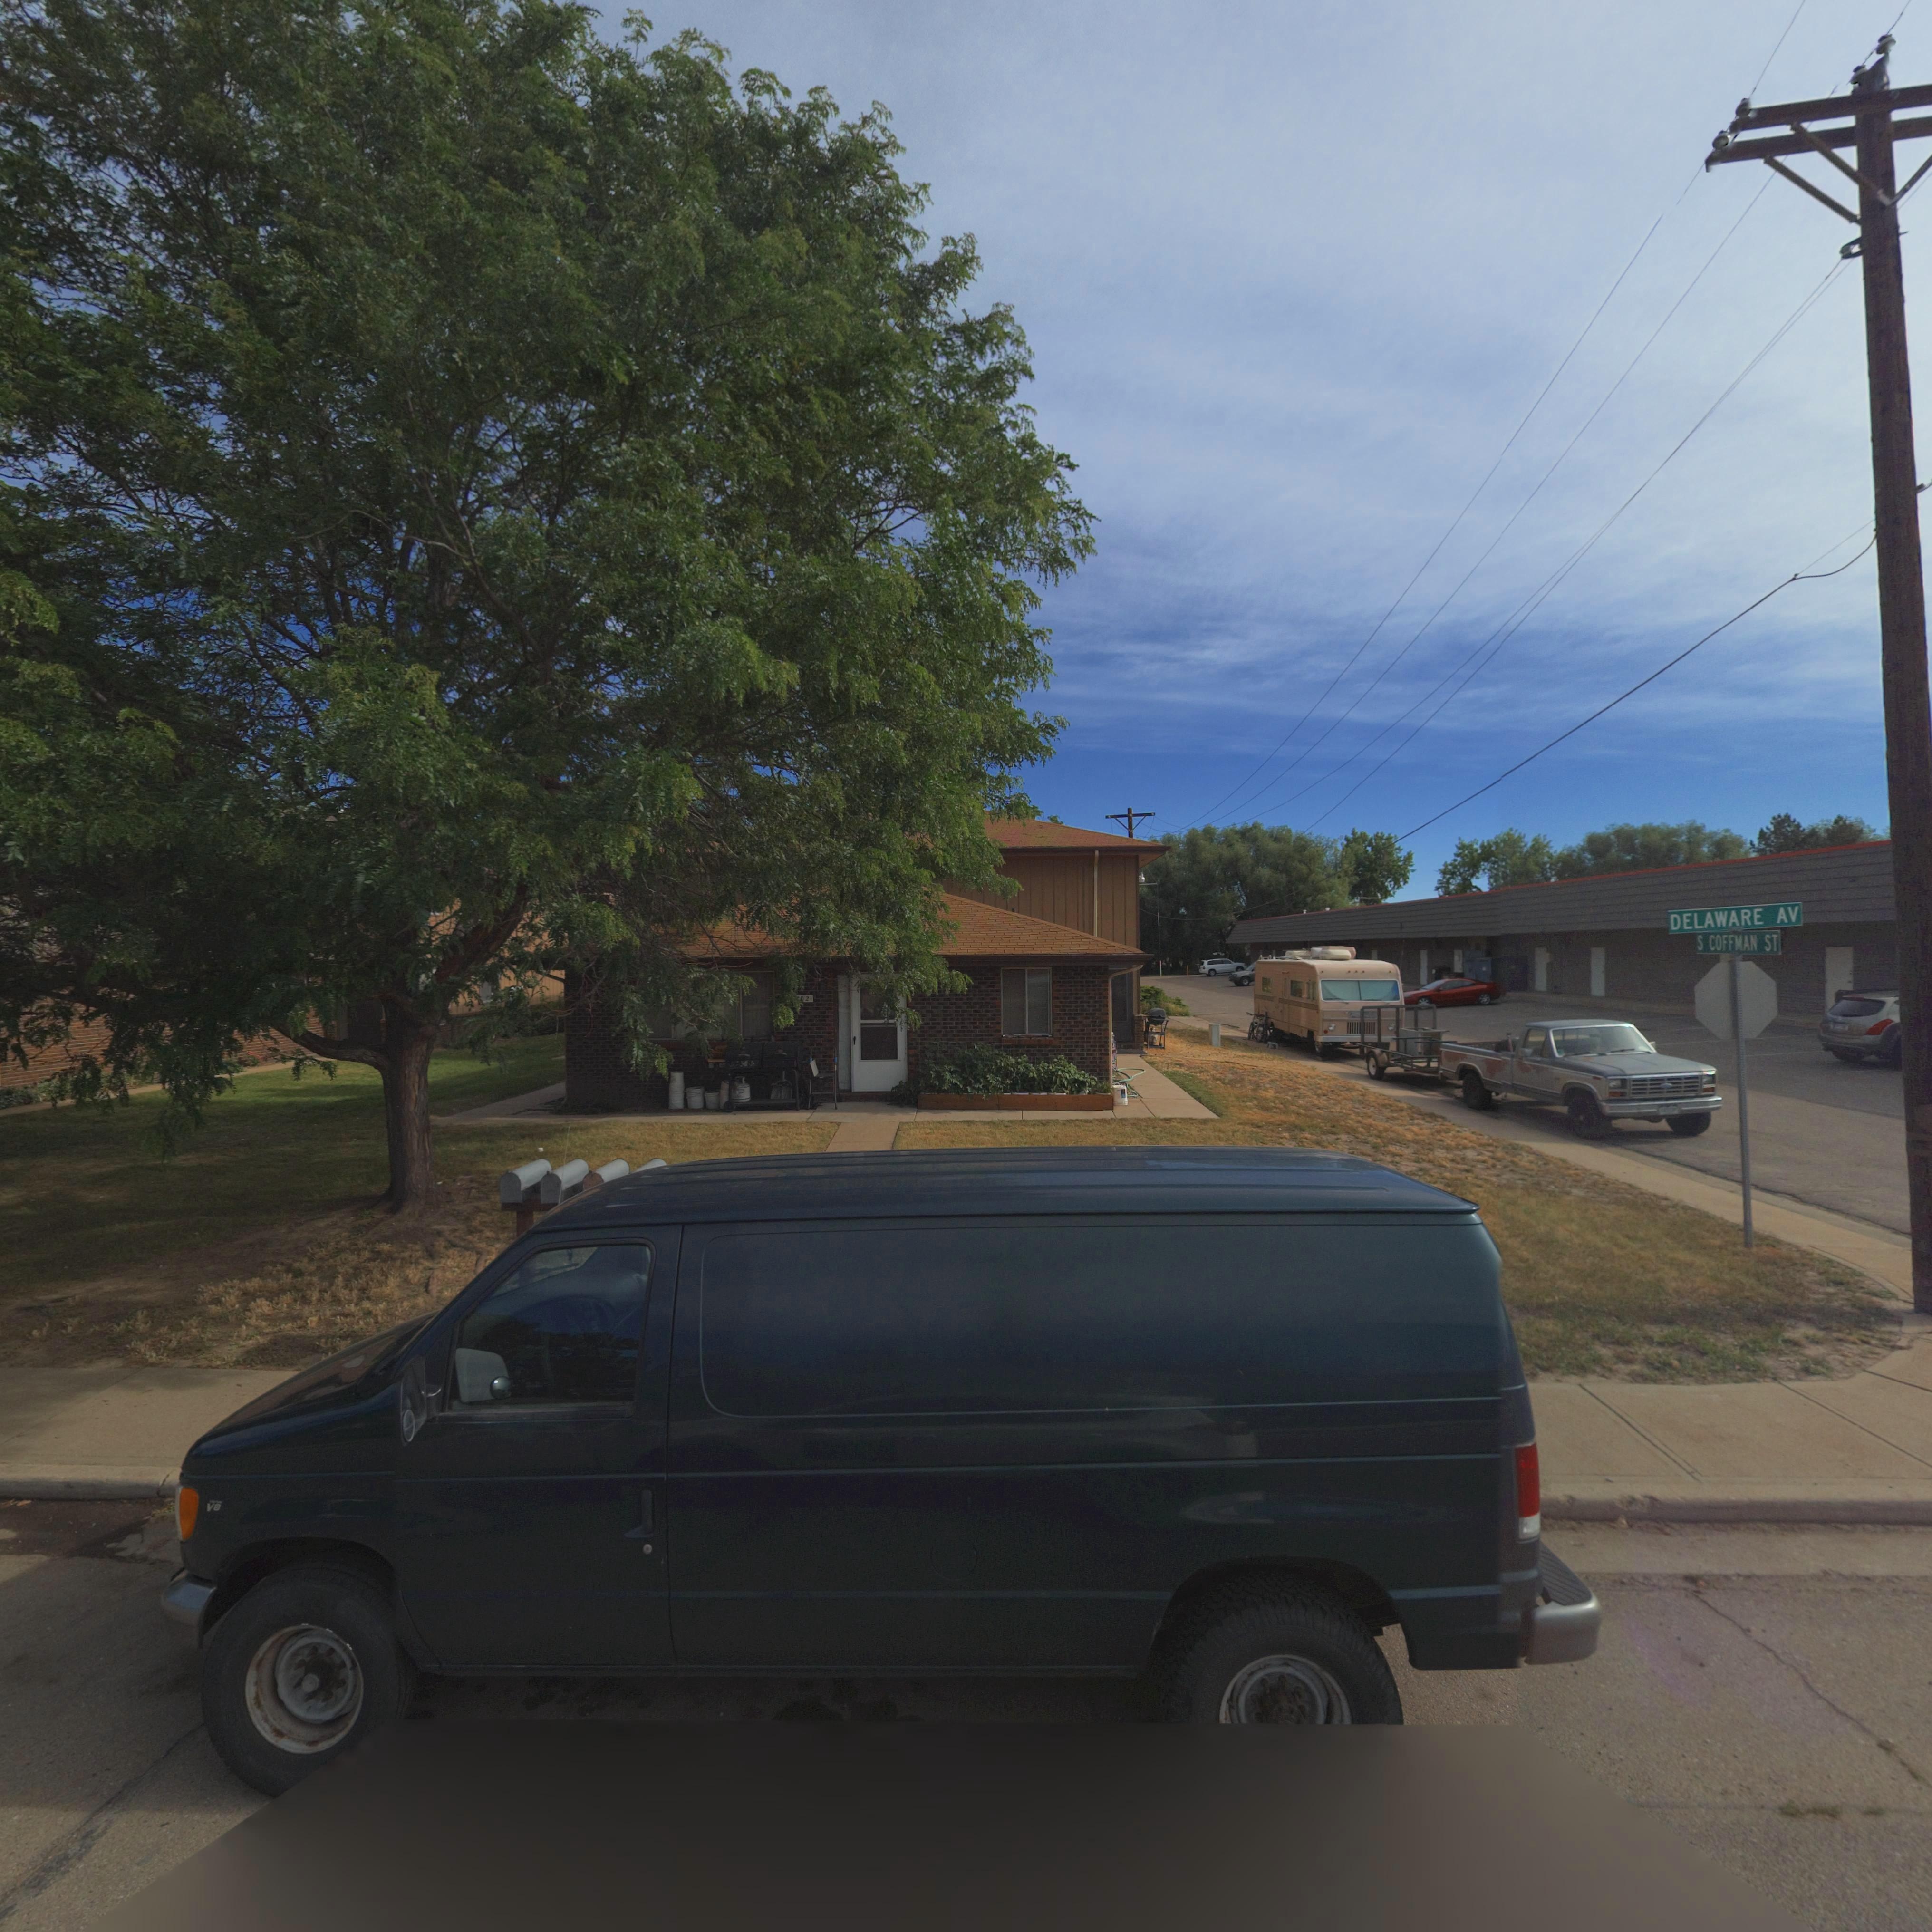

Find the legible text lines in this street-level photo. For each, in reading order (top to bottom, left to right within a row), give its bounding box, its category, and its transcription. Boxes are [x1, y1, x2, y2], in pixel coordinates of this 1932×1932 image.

[1669, 906, 1799, 930] StreetName: DELAWARE AV
[1694, 929, 1782, 954] StreetName:  S COFFMAN ST
[793, 995, 813, 1002] StreetNumber: 702